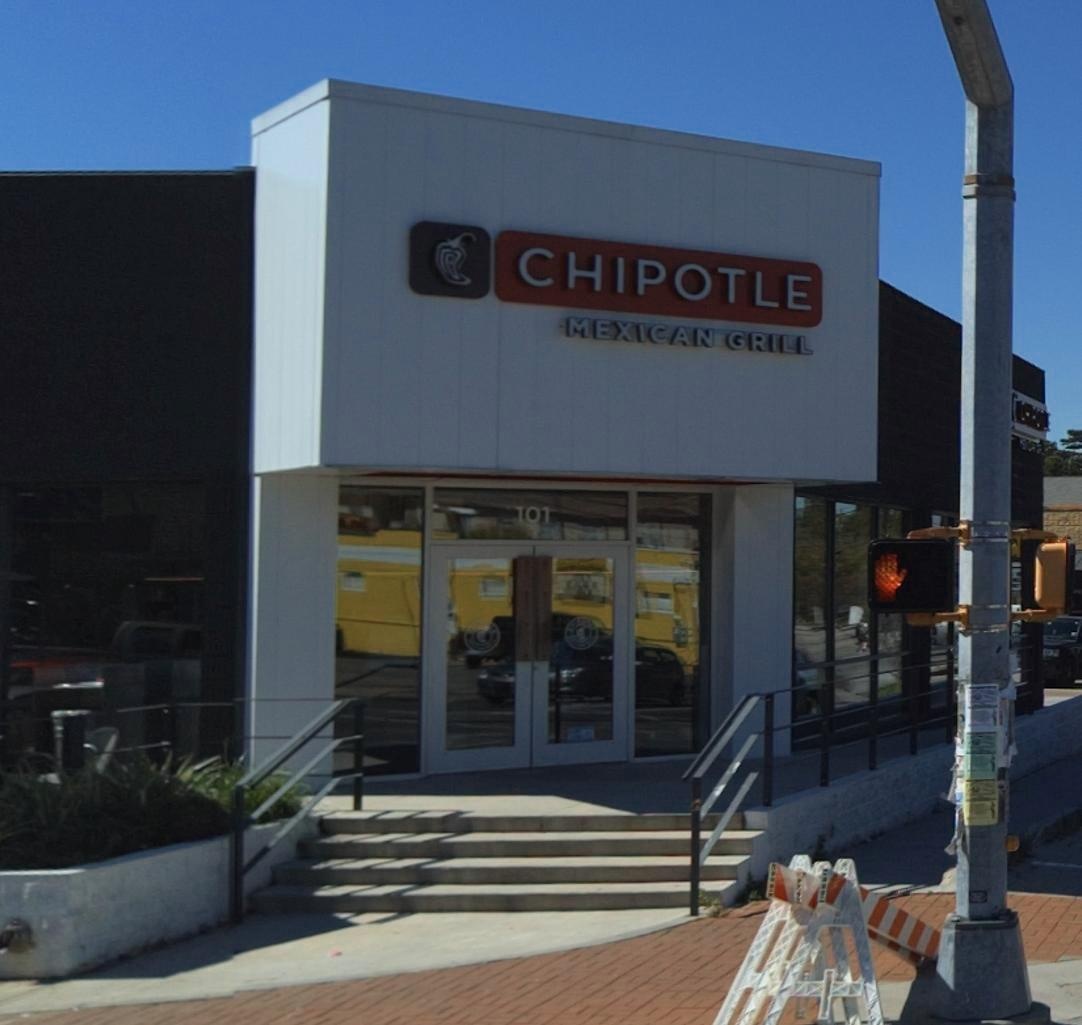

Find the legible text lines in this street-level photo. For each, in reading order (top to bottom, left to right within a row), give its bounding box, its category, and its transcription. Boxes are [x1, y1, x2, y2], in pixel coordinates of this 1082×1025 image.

[517, 246, 813, 312] BusinessName: CHIPOTLE
[566, 314, 814, 356] BusinessName: MEXICAN GRILL
[515, 505, 551, 524] StreetNumber: 101